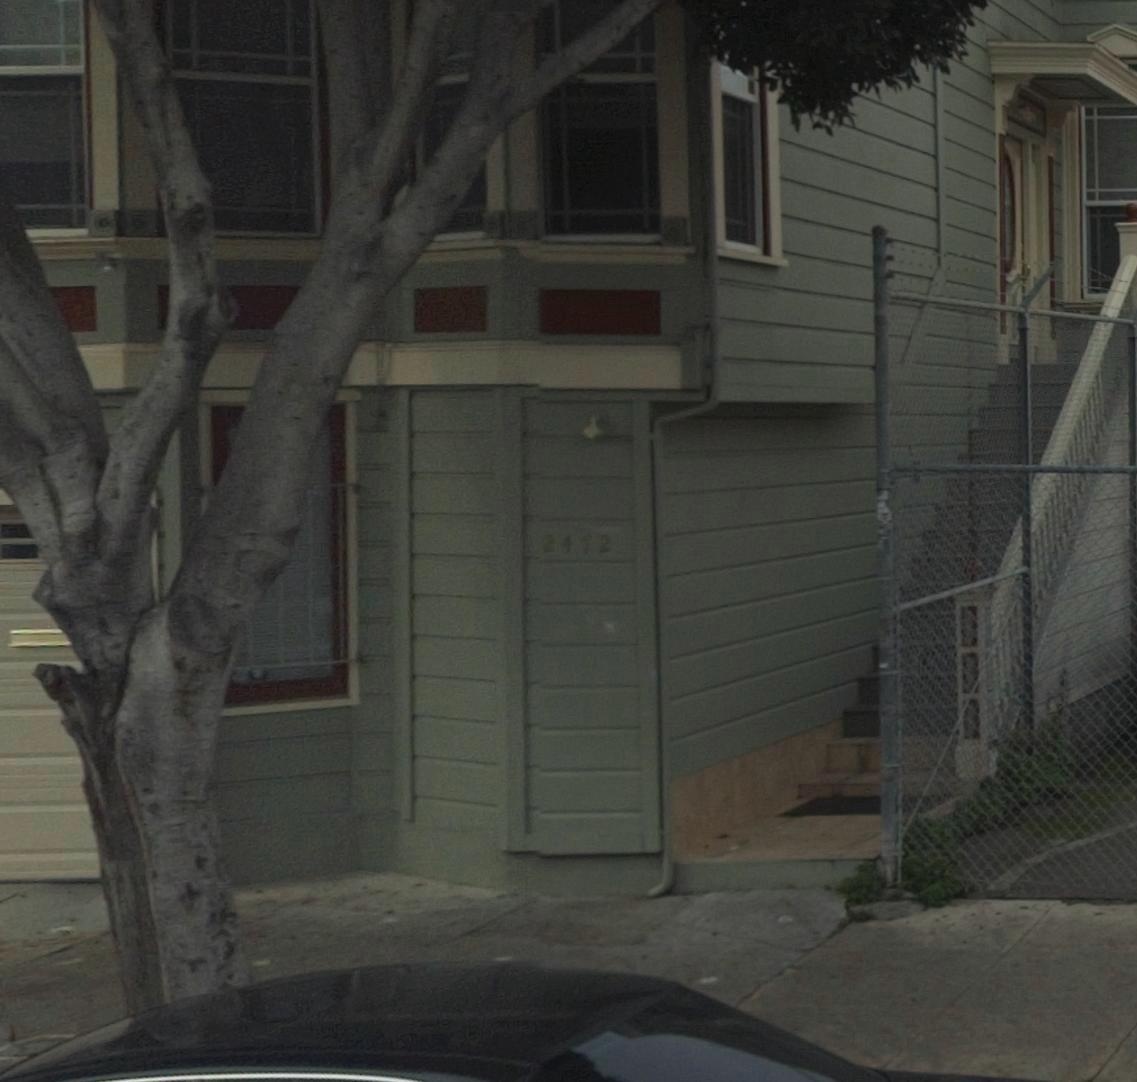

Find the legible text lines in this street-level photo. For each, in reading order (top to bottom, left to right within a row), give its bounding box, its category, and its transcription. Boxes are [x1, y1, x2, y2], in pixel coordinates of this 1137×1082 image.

[540, 532, 613, 556] StreetNumber: 2472